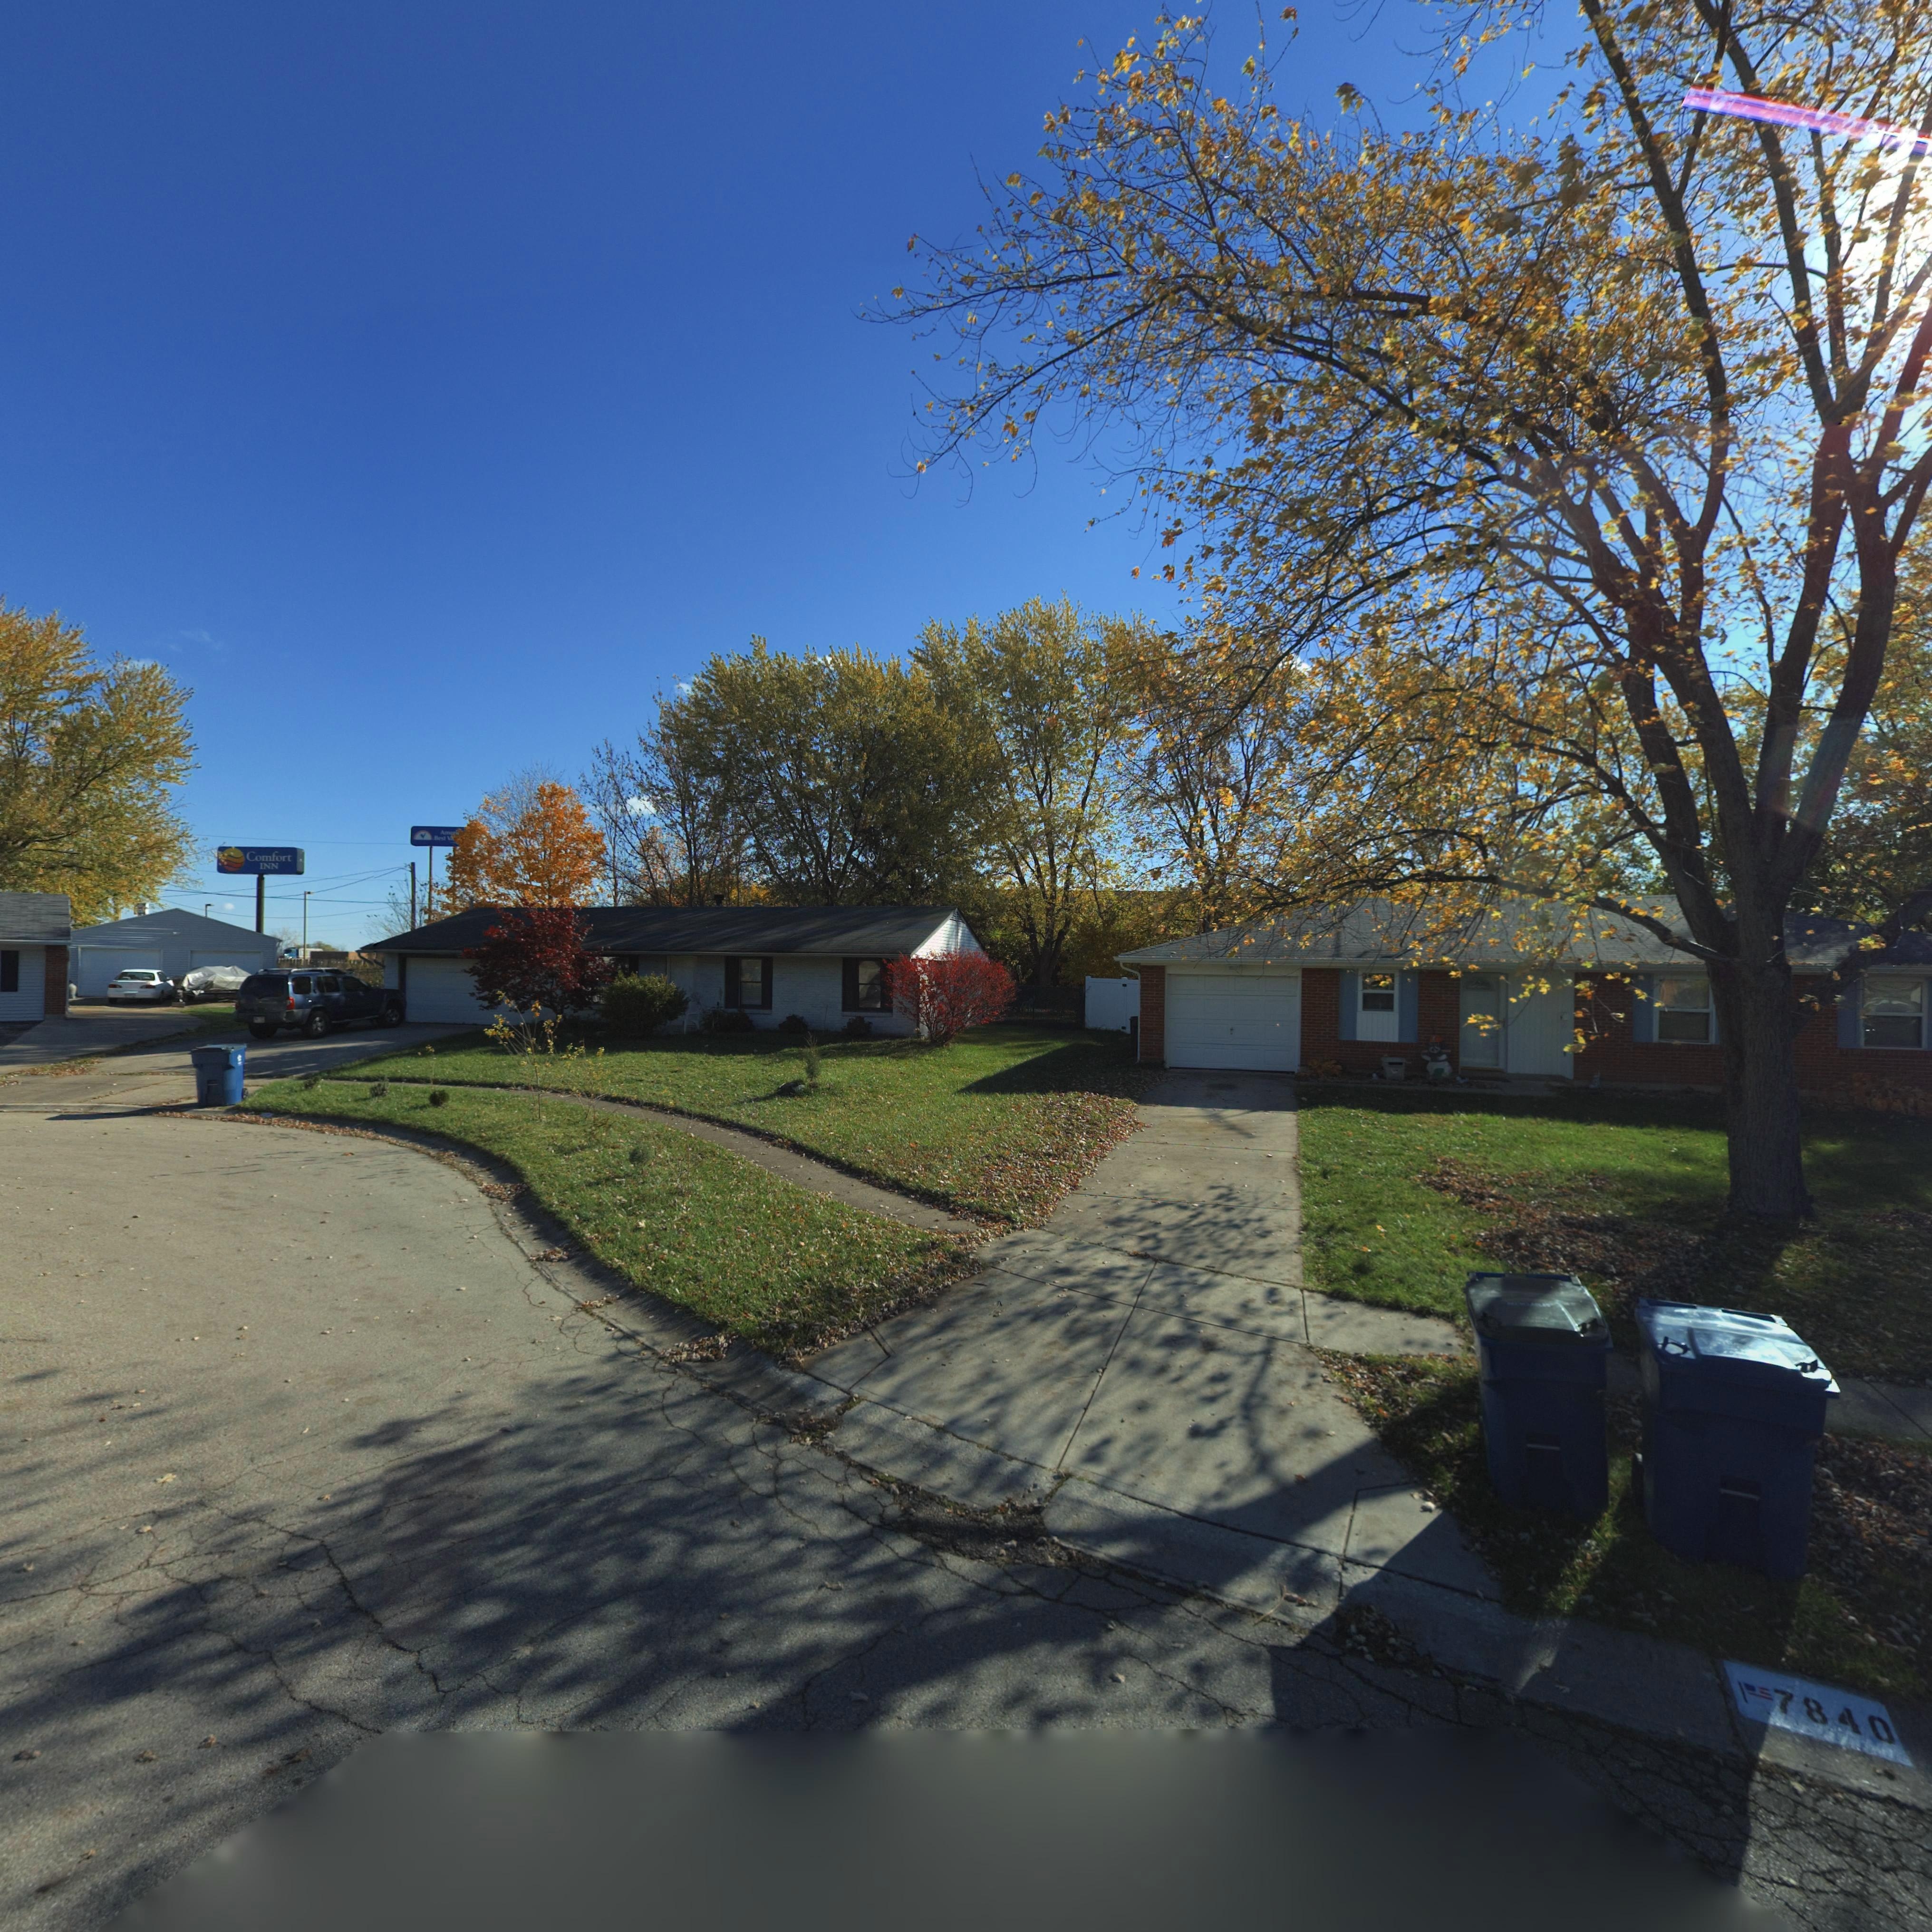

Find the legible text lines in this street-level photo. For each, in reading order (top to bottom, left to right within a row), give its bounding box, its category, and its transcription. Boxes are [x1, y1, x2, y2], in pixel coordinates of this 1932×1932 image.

[245, 850, 293, 862] BusinessName: Comfort
[259, 862, 279, 870] BusinessName: INN
[1771, 1687, 1898, 1748] StreetNumber: 7840